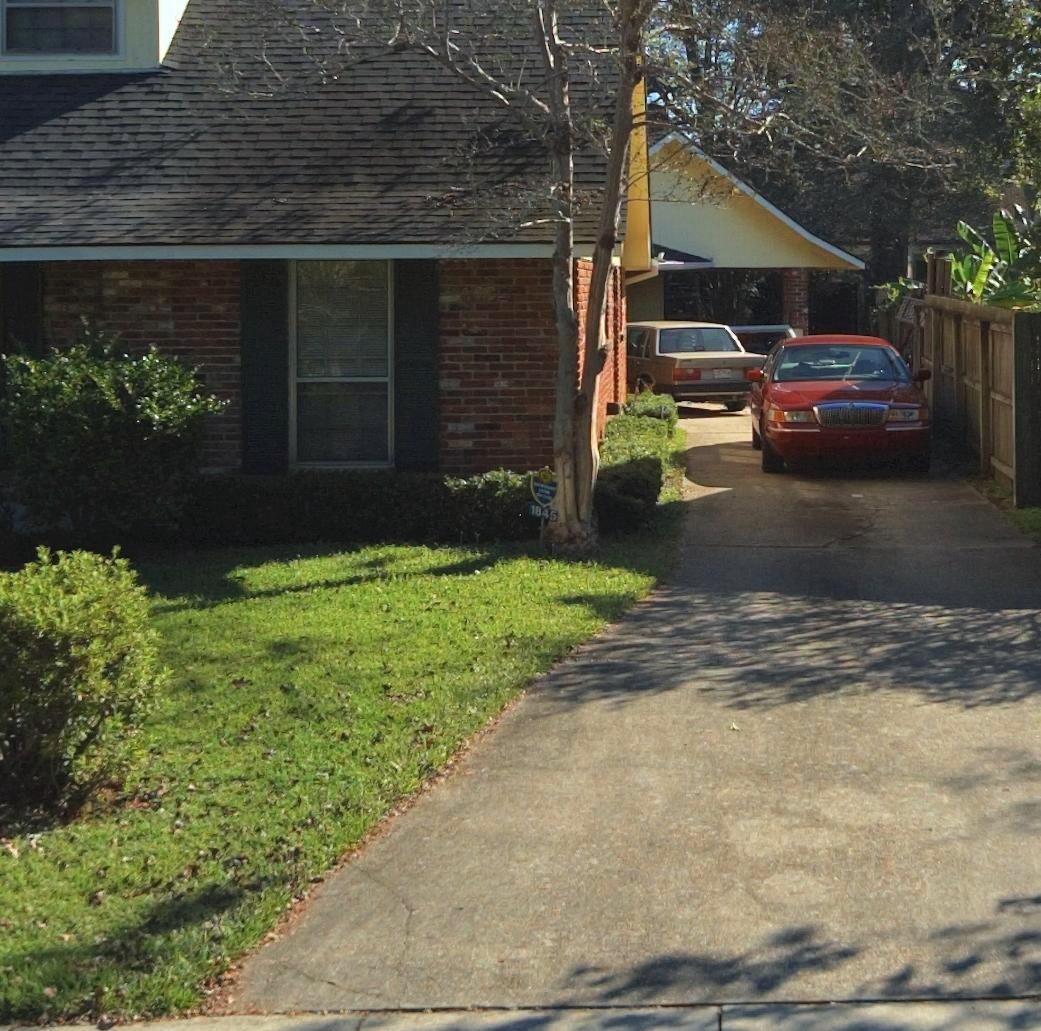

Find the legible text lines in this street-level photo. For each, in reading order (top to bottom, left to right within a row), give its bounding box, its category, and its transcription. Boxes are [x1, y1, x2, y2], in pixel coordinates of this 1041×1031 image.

[529, 501, 560, 523] StreetNumber: 1845